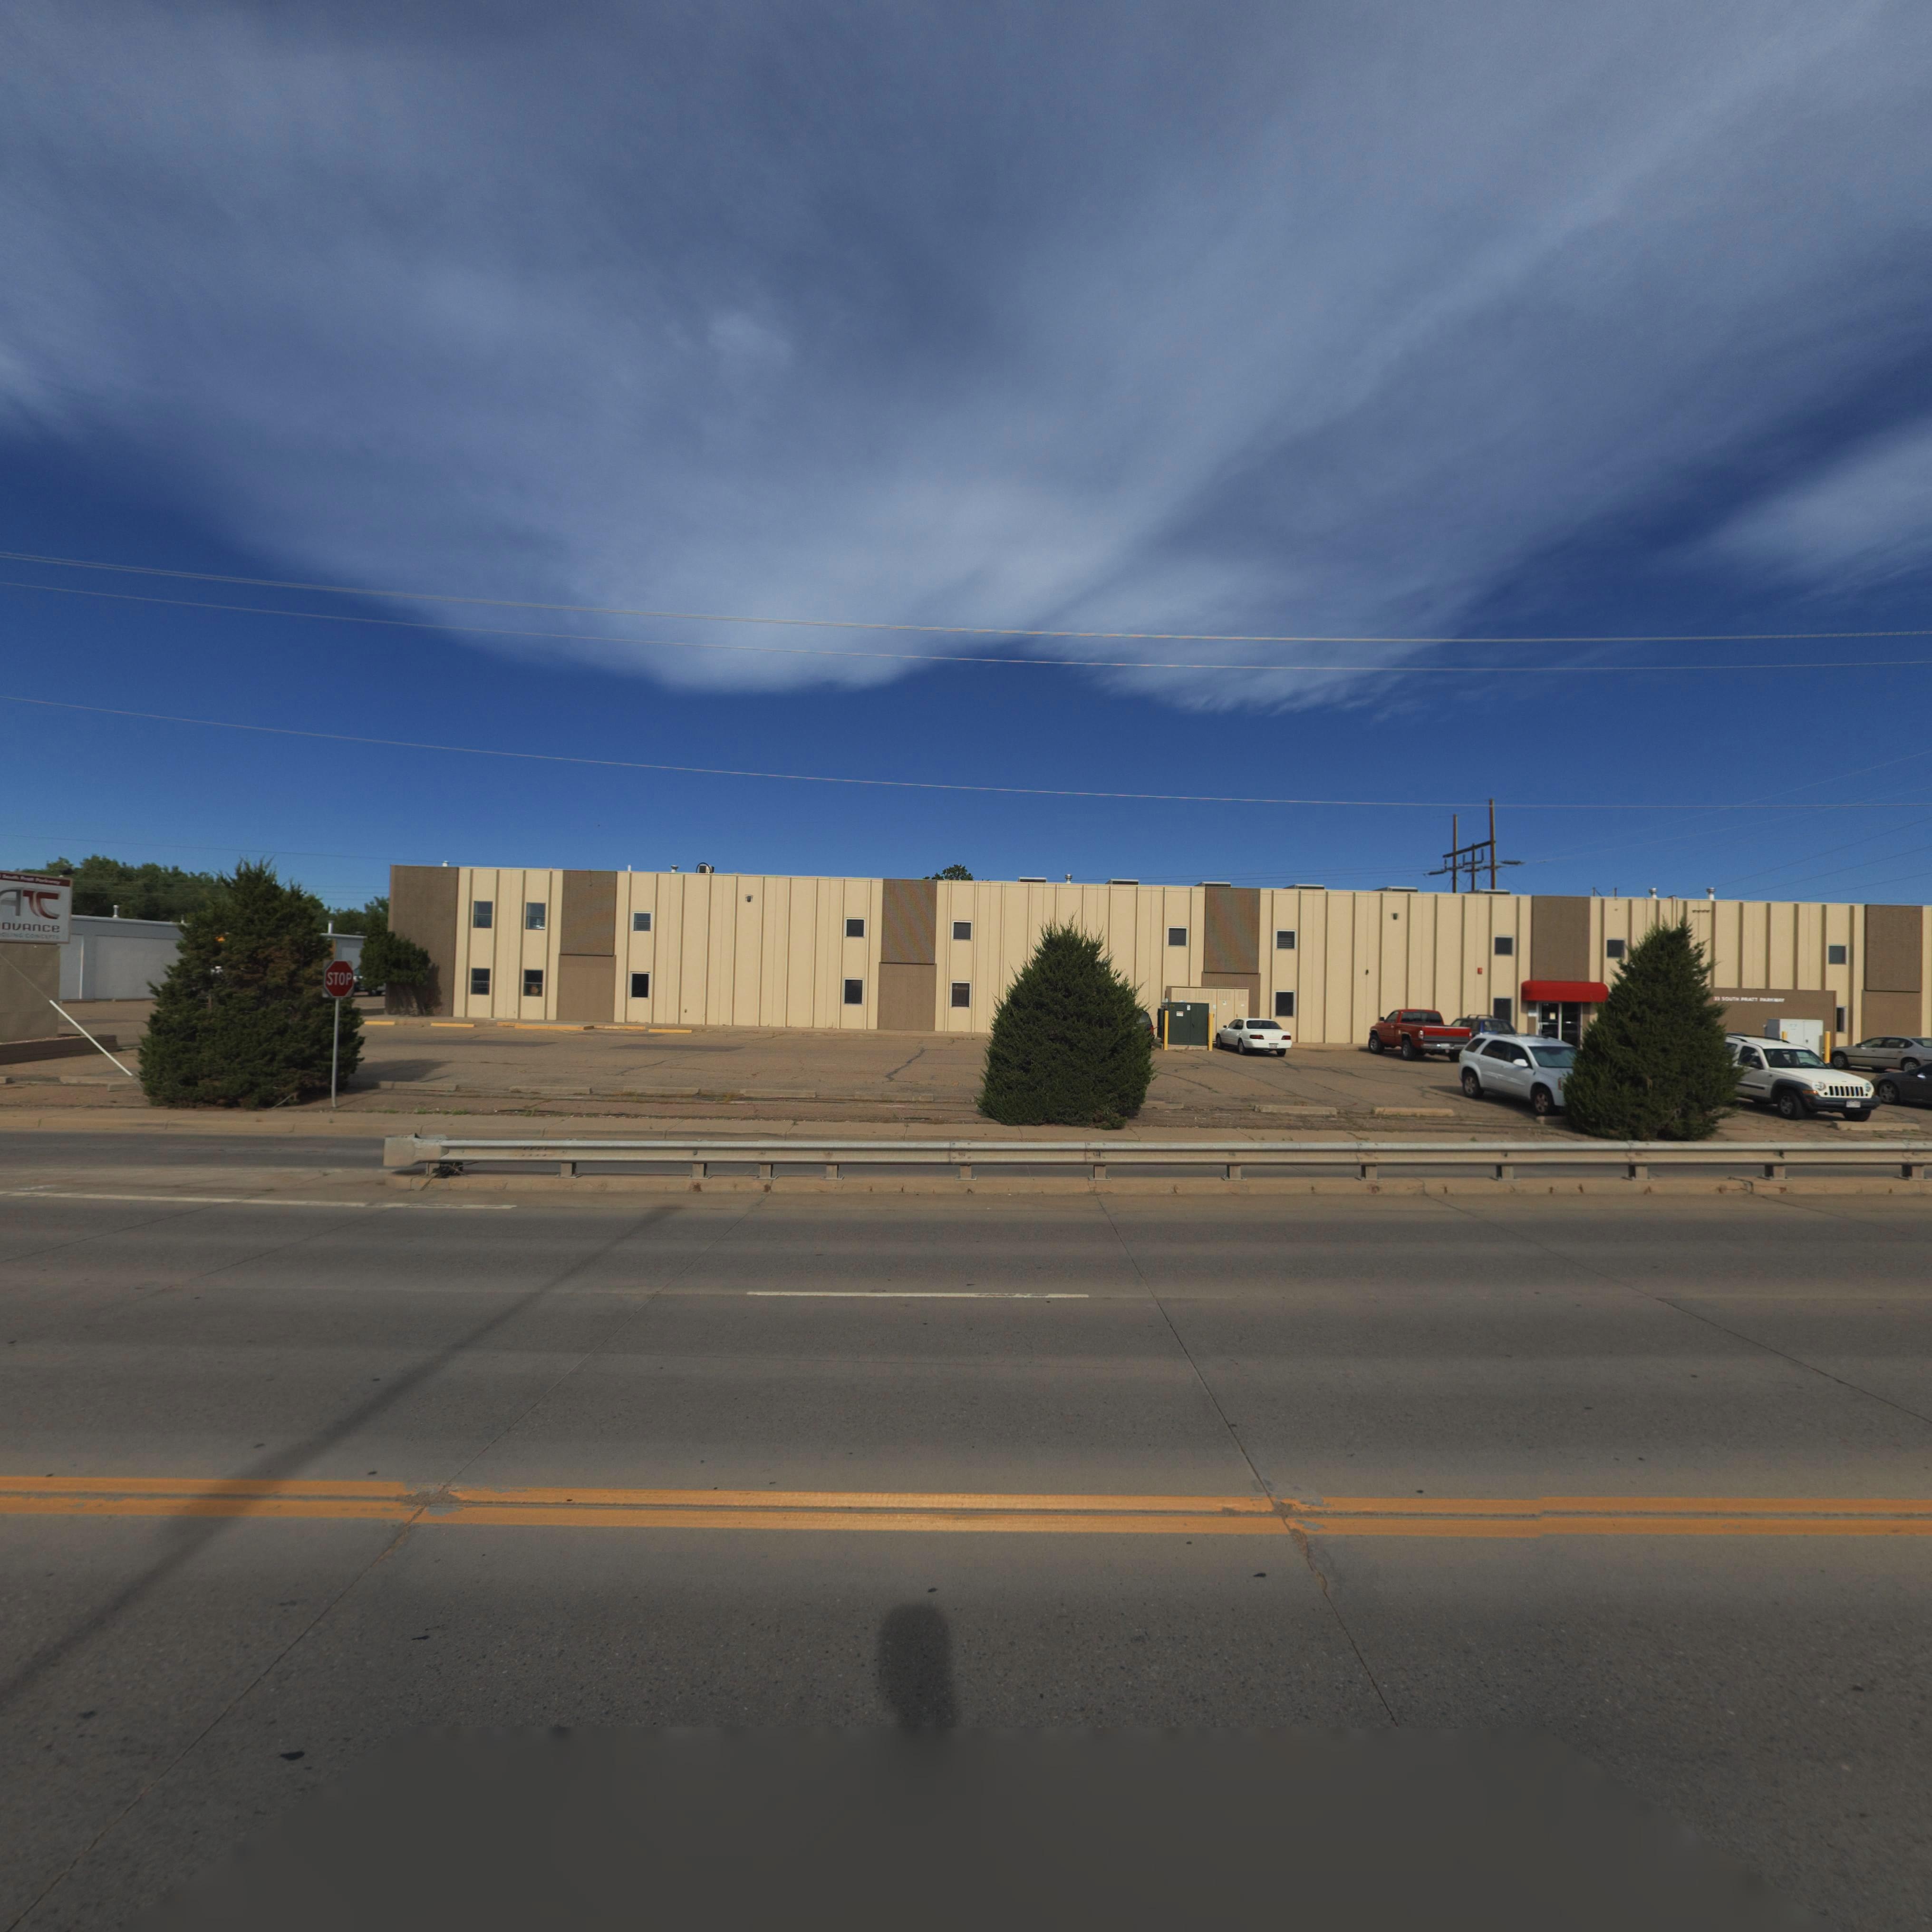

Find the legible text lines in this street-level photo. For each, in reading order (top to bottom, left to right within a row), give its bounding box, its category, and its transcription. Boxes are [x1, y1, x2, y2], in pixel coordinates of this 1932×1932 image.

[1, 921, 60, 933] BusinessName: DVANCe
[0, 931, 59, 939] BusinessName: ***** CO*****
[1719, 996, 1785, 1003] StreetName: SOUT* **ATT P**K***